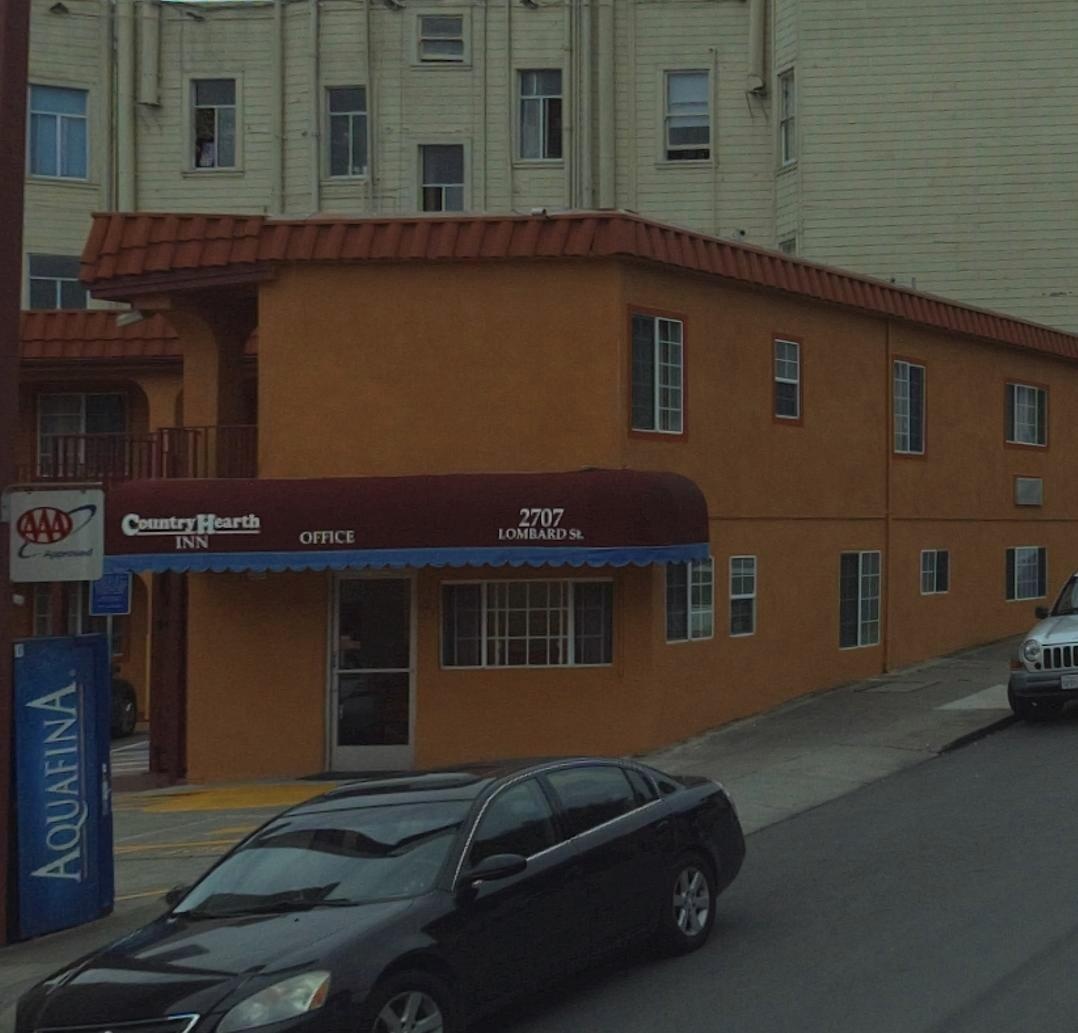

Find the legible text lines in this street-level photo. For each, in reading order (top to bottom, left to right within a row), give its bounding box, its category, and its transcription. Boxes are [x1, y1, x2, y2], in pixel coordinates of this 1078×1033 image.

[22, 508, 65, 543] None: AAA
[121, 513, 261, 536] BusinessName: Country Hearth
[174, 535, 209, 550] BusinessName: INN
[299, 530, 356, 545] None: OFFICE
[518, 507, 565, 527] StreetNumber: 2707
[498, 527, 585, 541] StreetName: LOMBARD St.
[43, 548, 94, 560] None: Approved
[24, 681, 88, 884] None: AQUAFINA